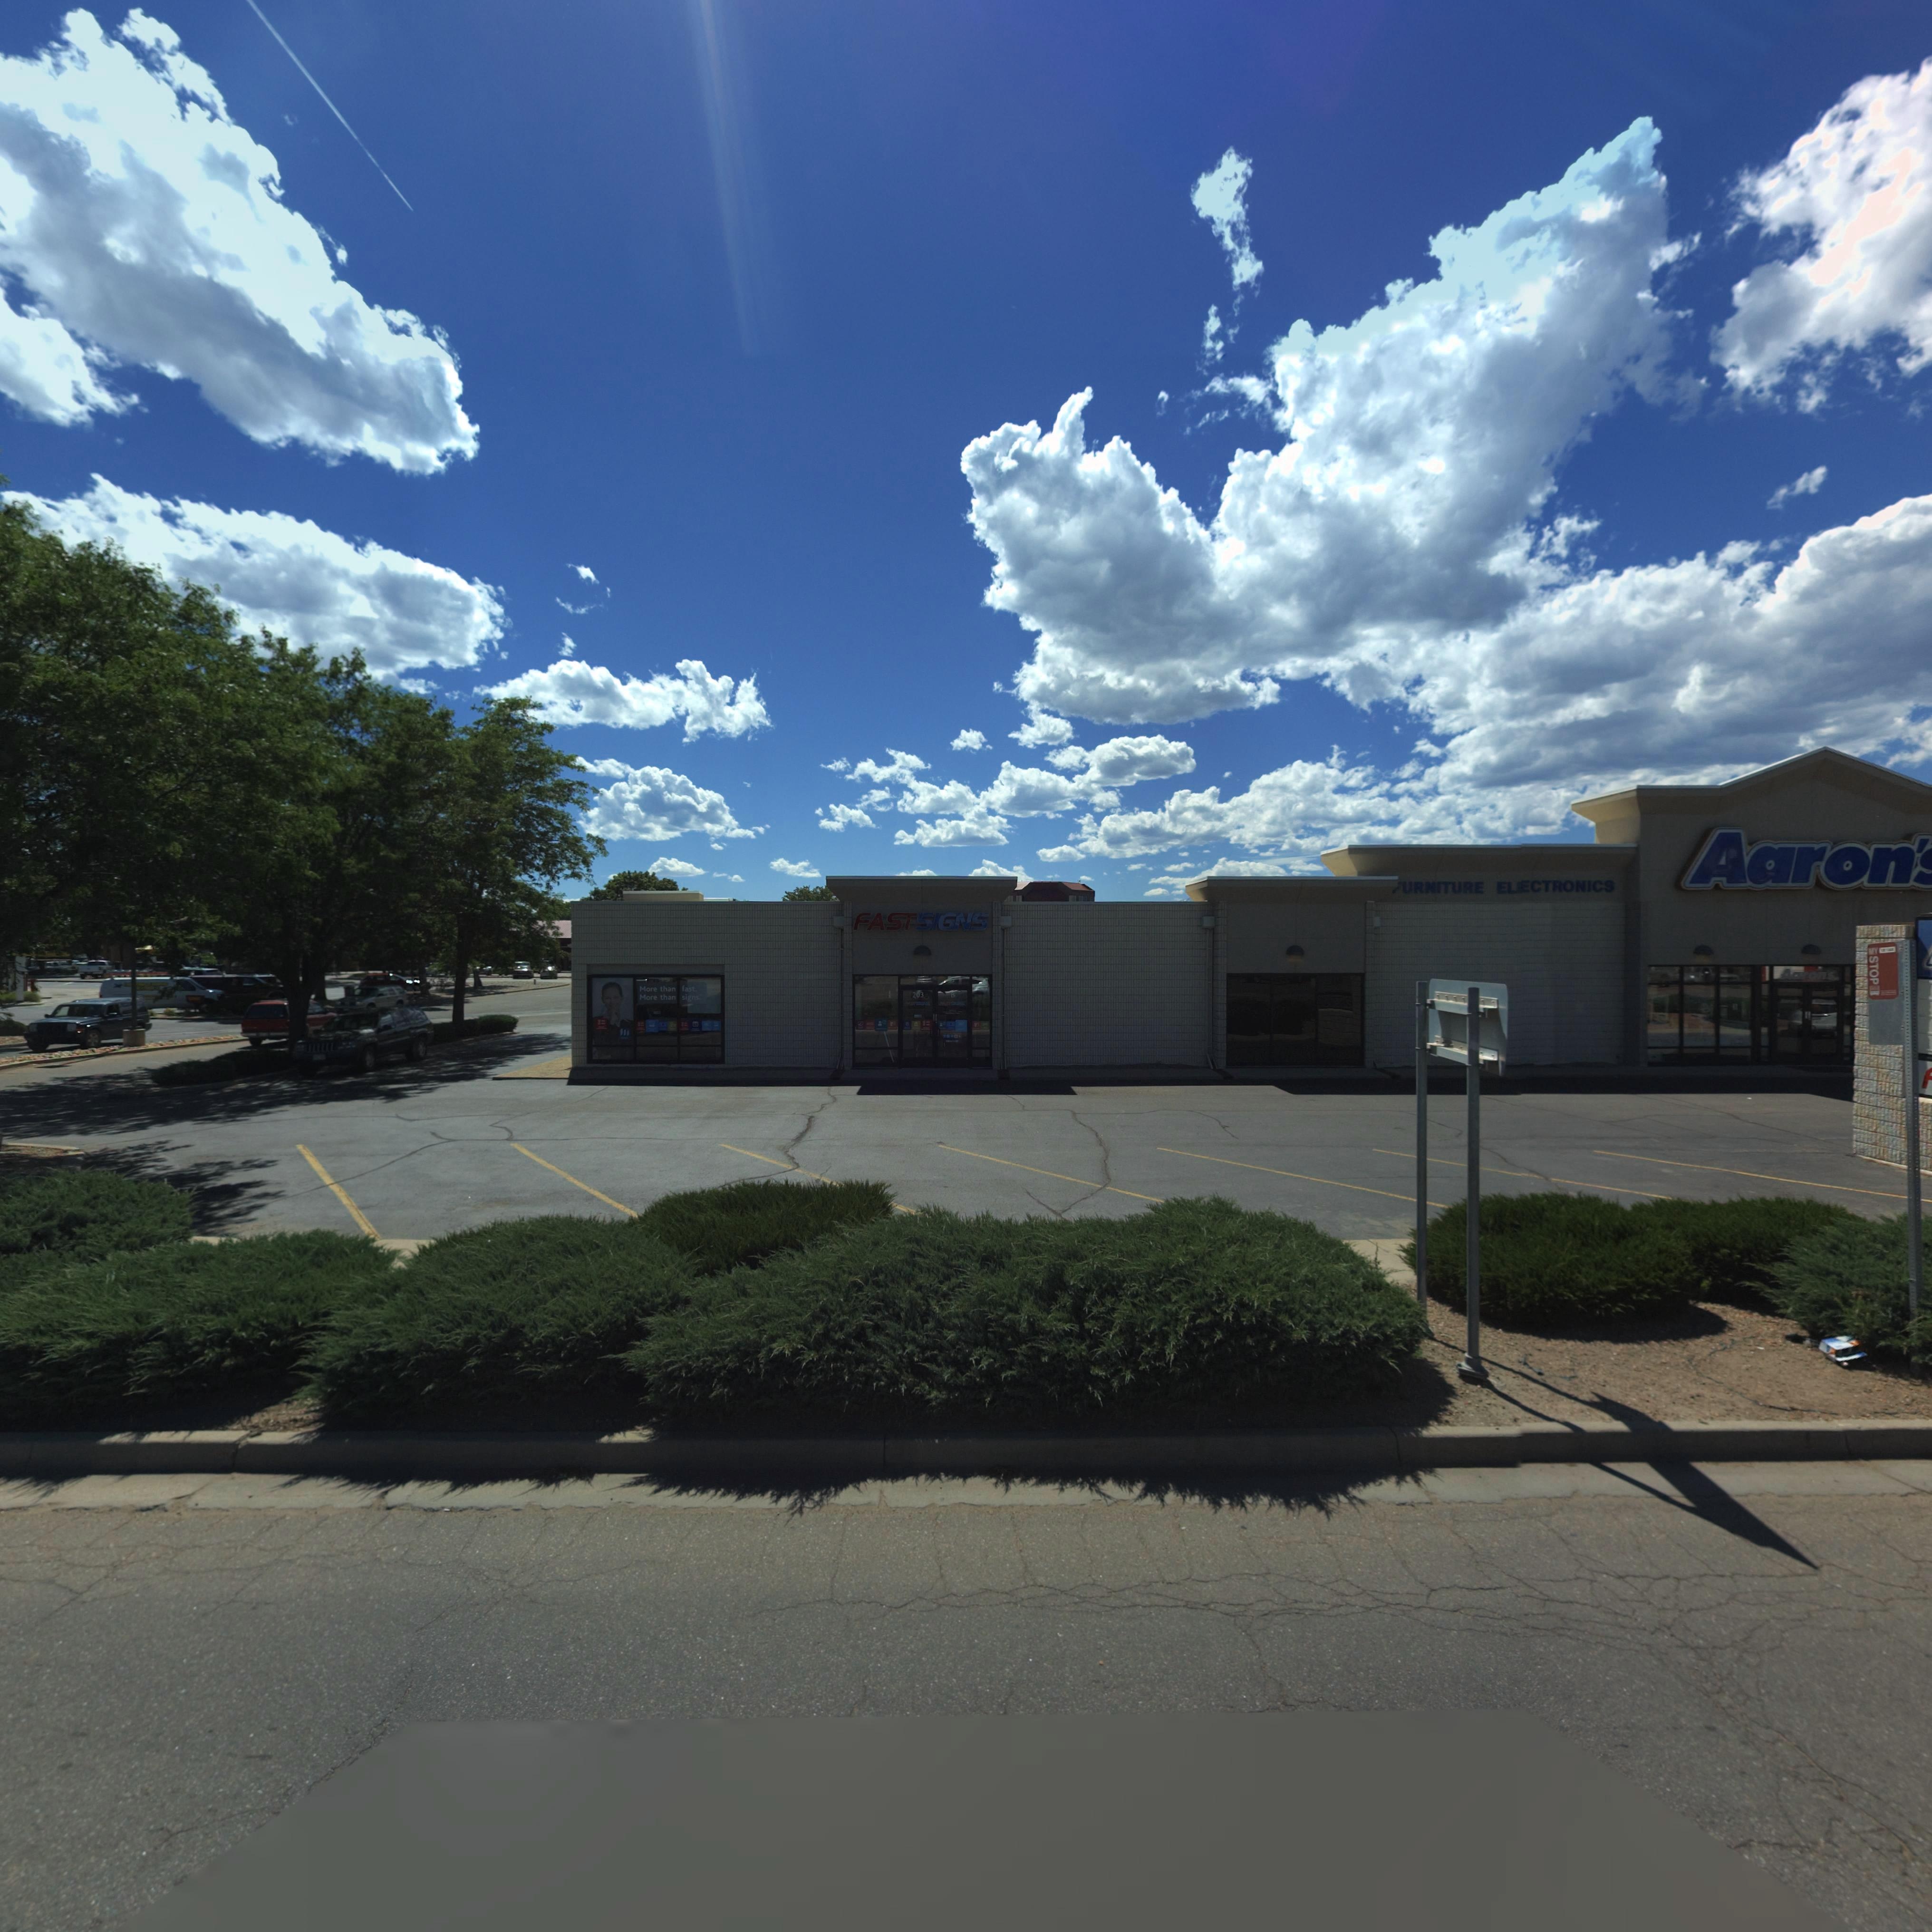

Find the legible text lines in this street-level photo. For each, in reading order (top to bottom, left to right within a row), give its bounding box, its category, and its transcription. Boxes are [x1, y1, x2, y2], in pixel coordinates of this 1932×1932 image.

[1682, 824, 1917, 890] BusinessName: Aaron
[1399, 880, 1615, 894] BusinessName: URN TIRE ELECTRONICS
[852, 911, 991, 931] BusinessName: FASTSIGNS
[1778, 967, 1835, 980] BusinessName: Aaron's